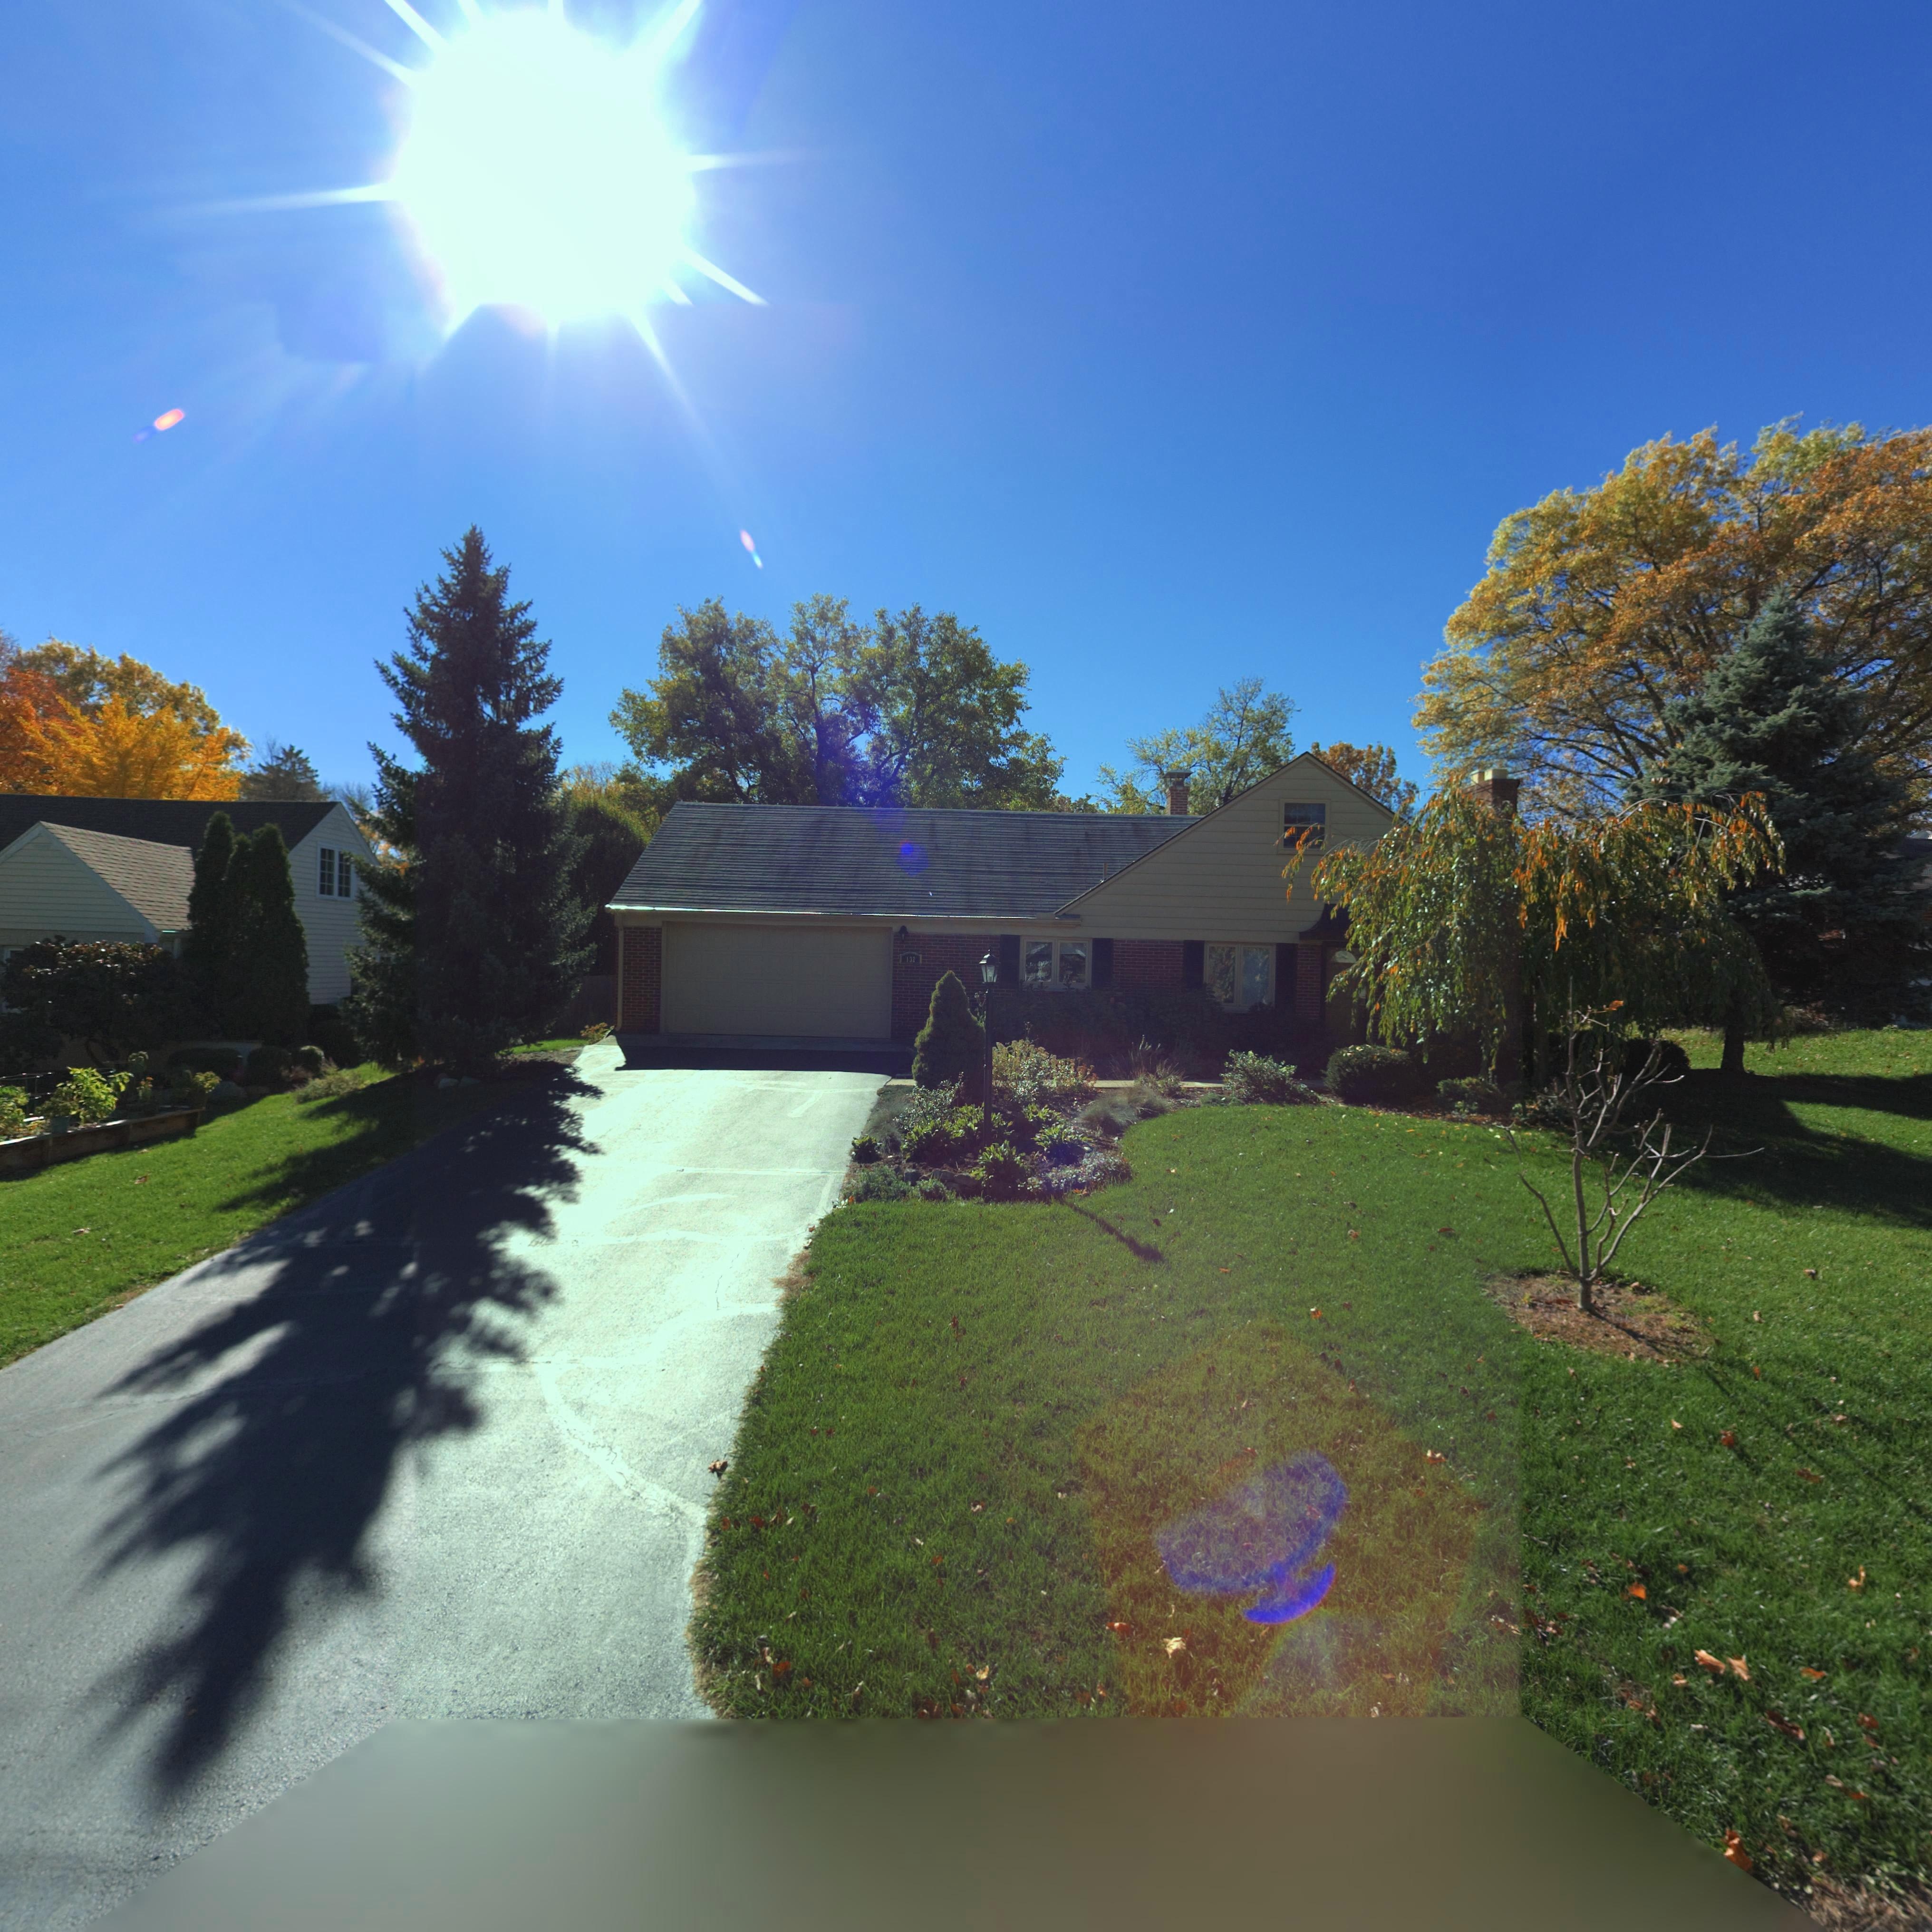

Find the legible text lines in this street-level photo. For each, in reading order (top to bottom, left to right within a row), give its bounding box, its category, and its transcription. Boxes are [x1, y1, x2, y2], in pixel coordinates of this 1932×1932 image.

[906, 956, 916, 963] StreetNumber: 132